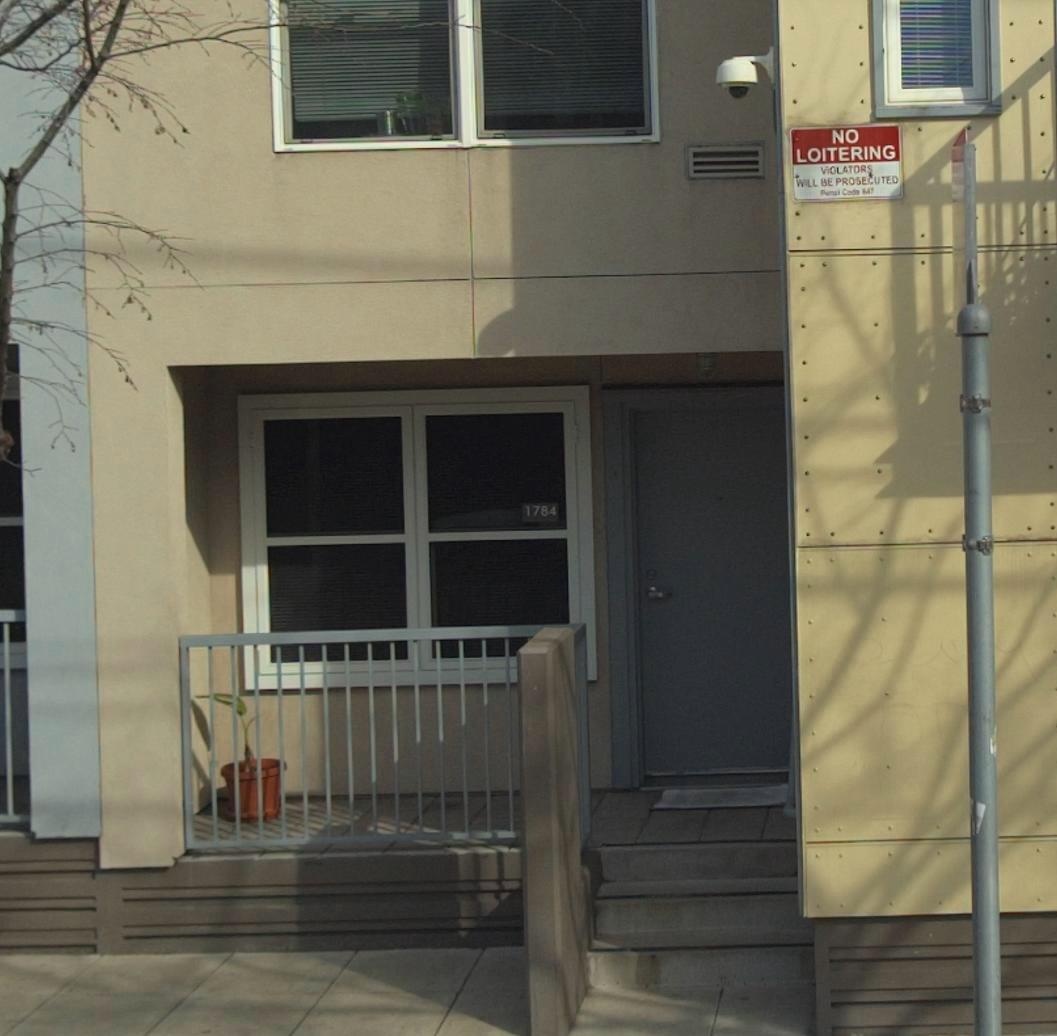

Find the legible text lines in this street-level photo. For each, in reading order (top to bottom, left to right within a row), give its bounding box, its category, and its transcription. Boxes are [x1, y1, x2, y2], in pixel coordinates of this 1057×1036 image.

[829, 127, 862, 146] None: NO
[793, 142, 899, 166] None: LOITERING
[817, 161, 877, 177] None: VIOLATORS
[794, 172, 901, 190] None: WILL BE PROSECUTED
[523, 503, 558, 519] StreetNumber: 1784